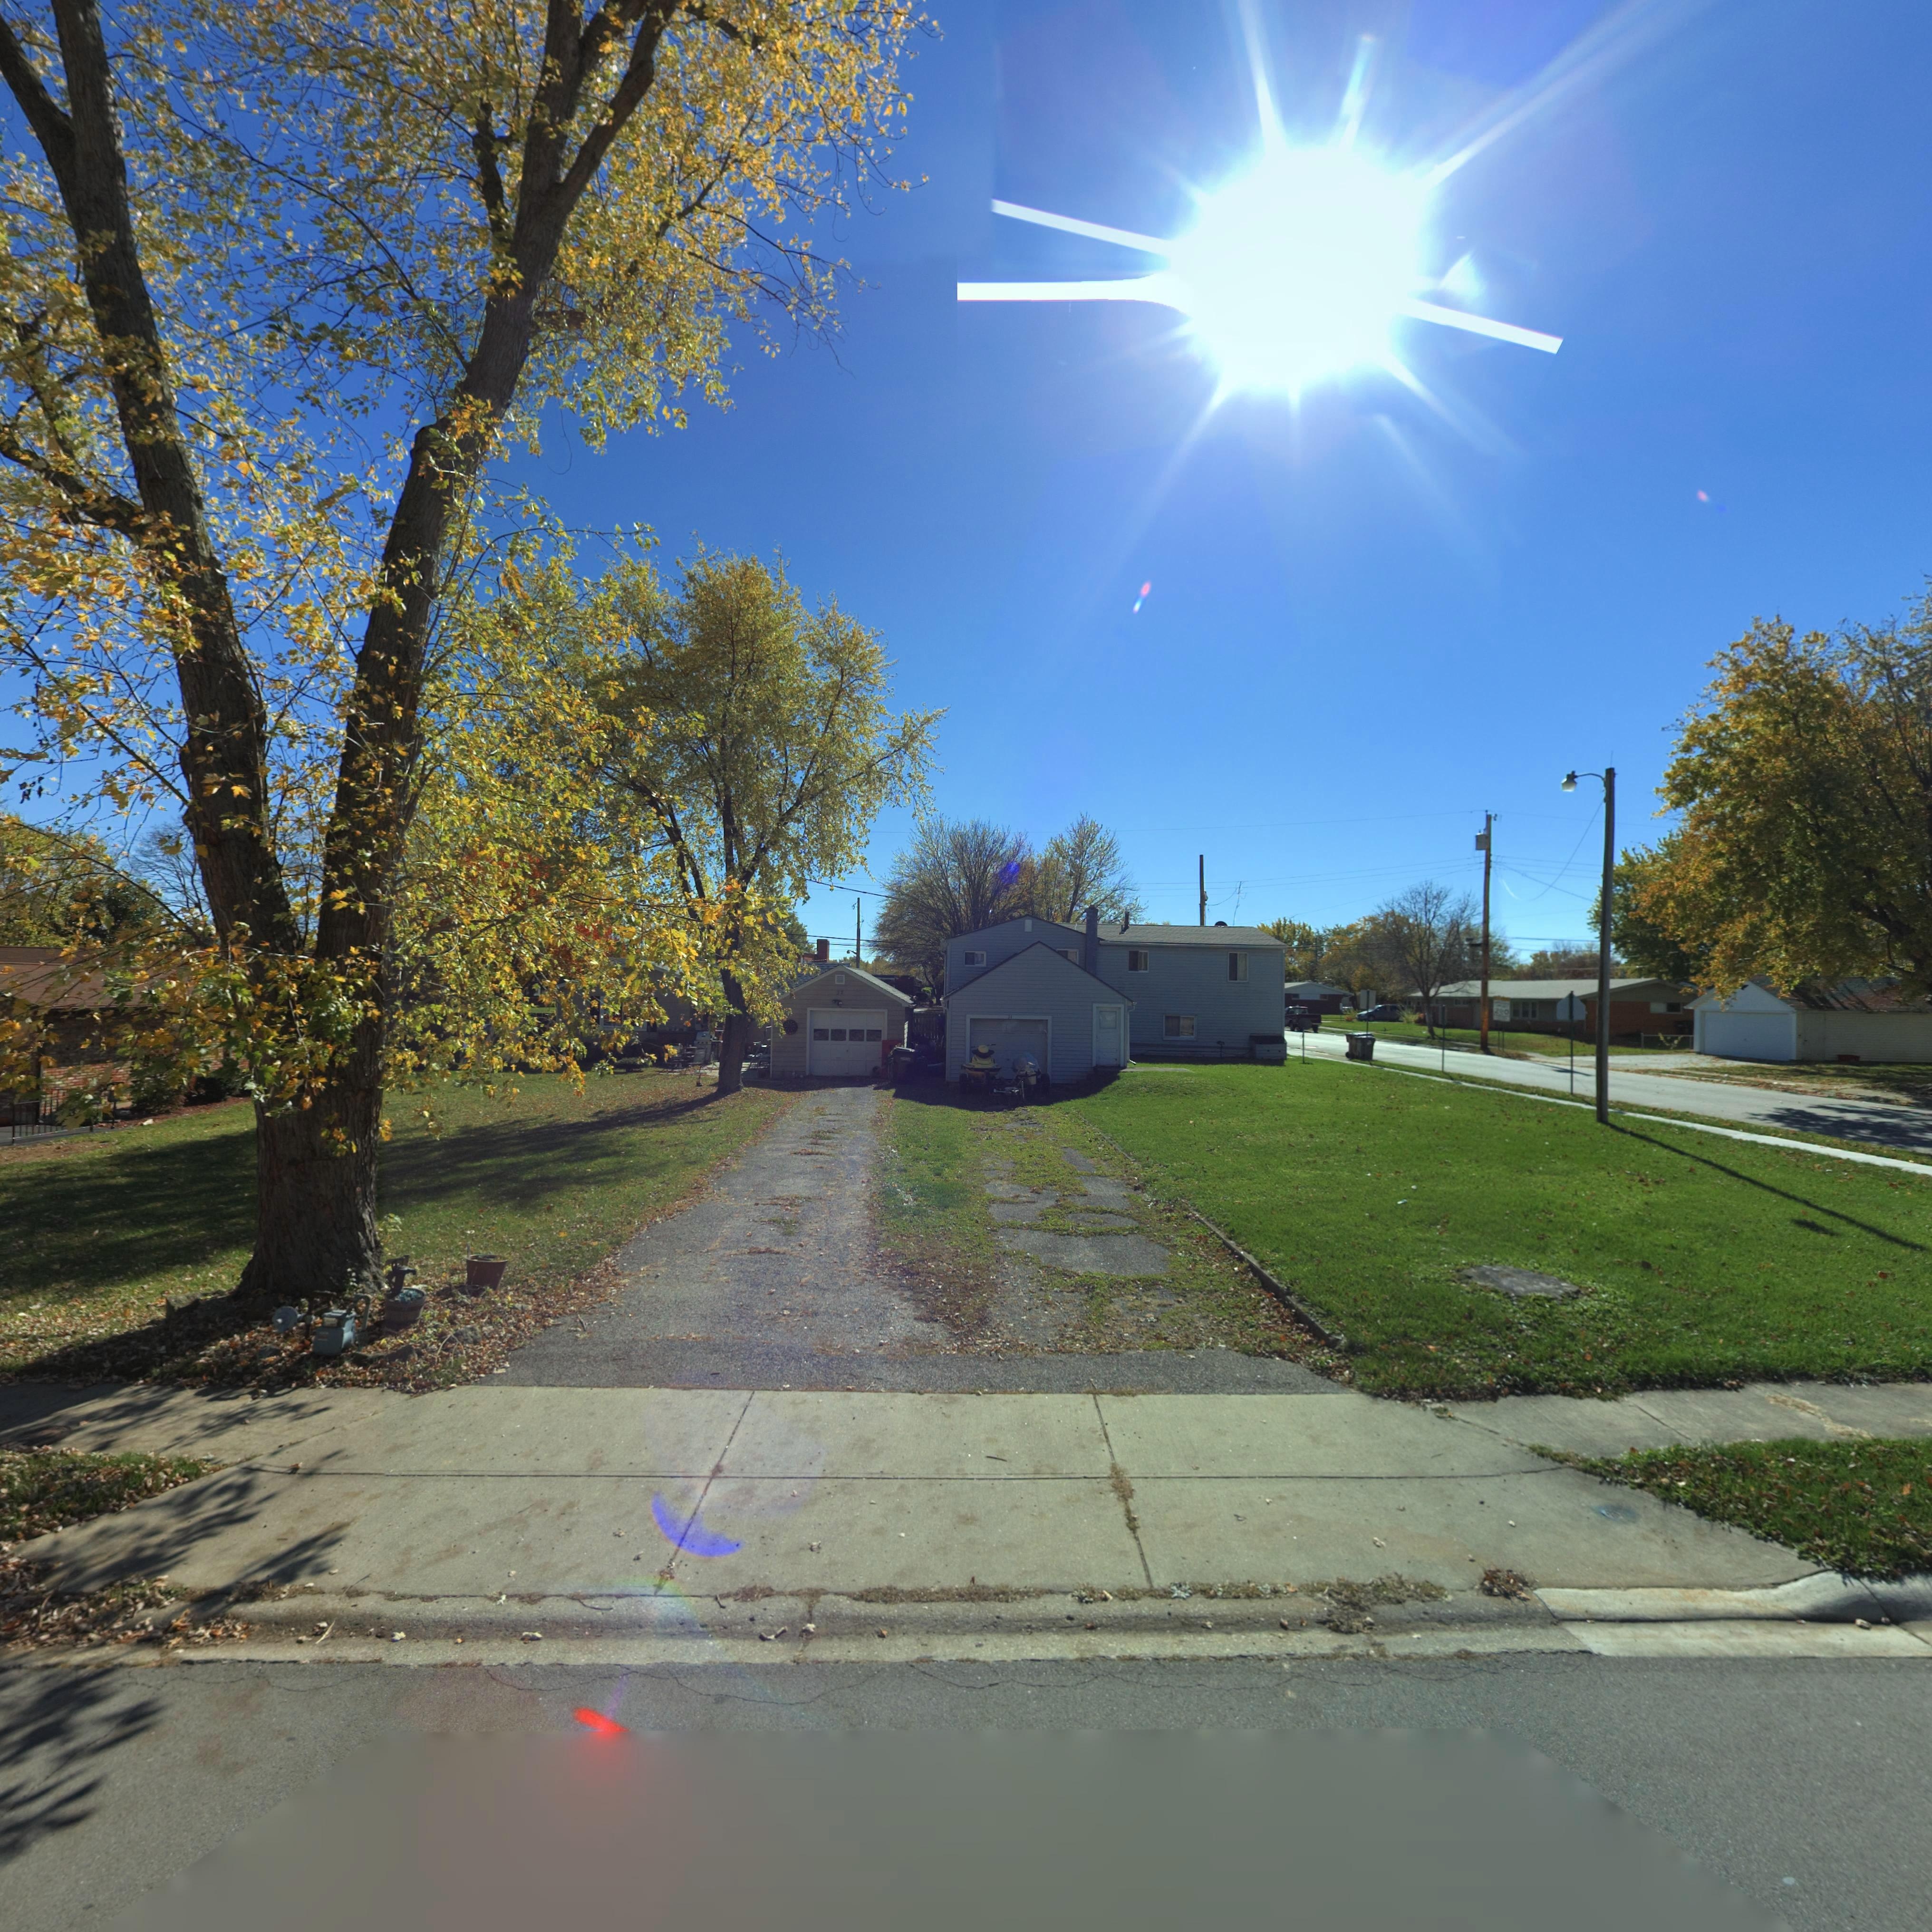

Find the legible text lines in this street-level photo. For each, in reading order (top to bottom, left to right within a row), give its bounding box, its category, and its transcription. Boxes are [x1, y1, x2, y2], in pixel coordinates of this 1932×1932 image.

[836, 990, 844, 996] StreetNumber: 3*